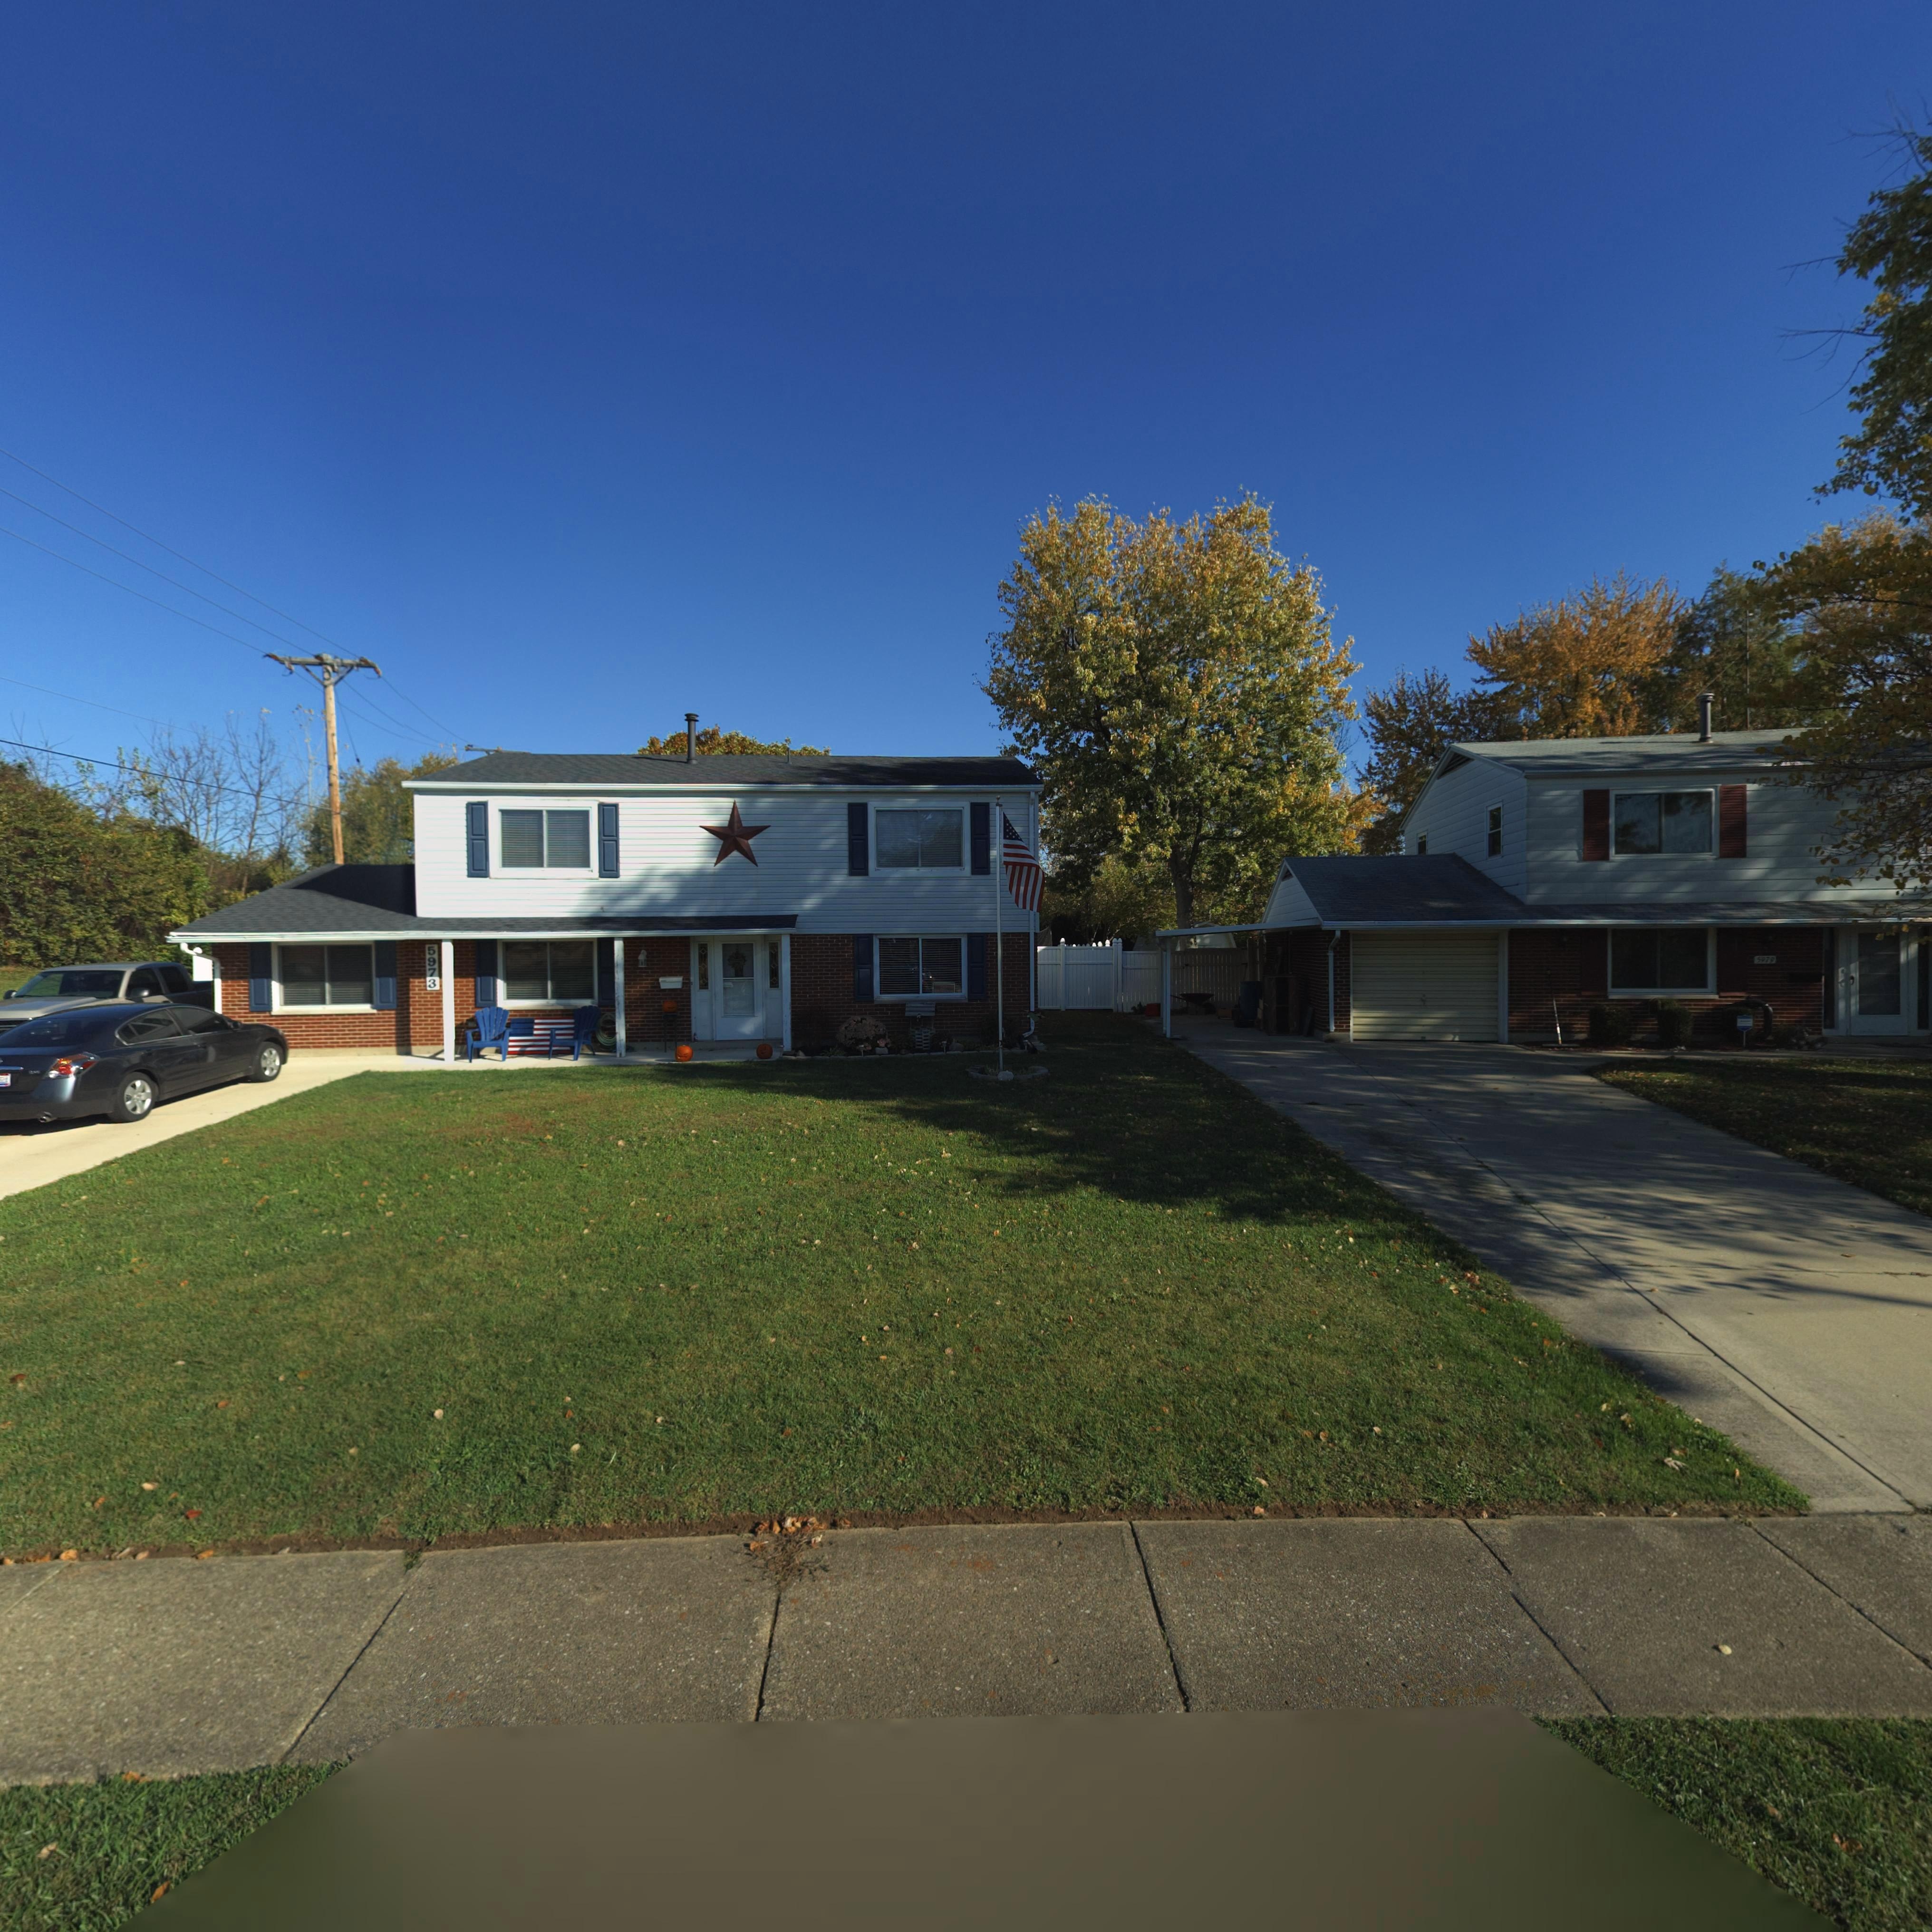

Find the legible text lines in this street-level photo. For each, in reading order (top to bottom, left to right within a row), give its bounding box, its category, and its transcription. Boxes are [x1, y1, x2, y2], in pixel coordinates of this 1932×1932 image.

[426, 945, 438, 990] StreetNumber: 5973
[1756, 956, 1776, 964] StreetNumber: 5979